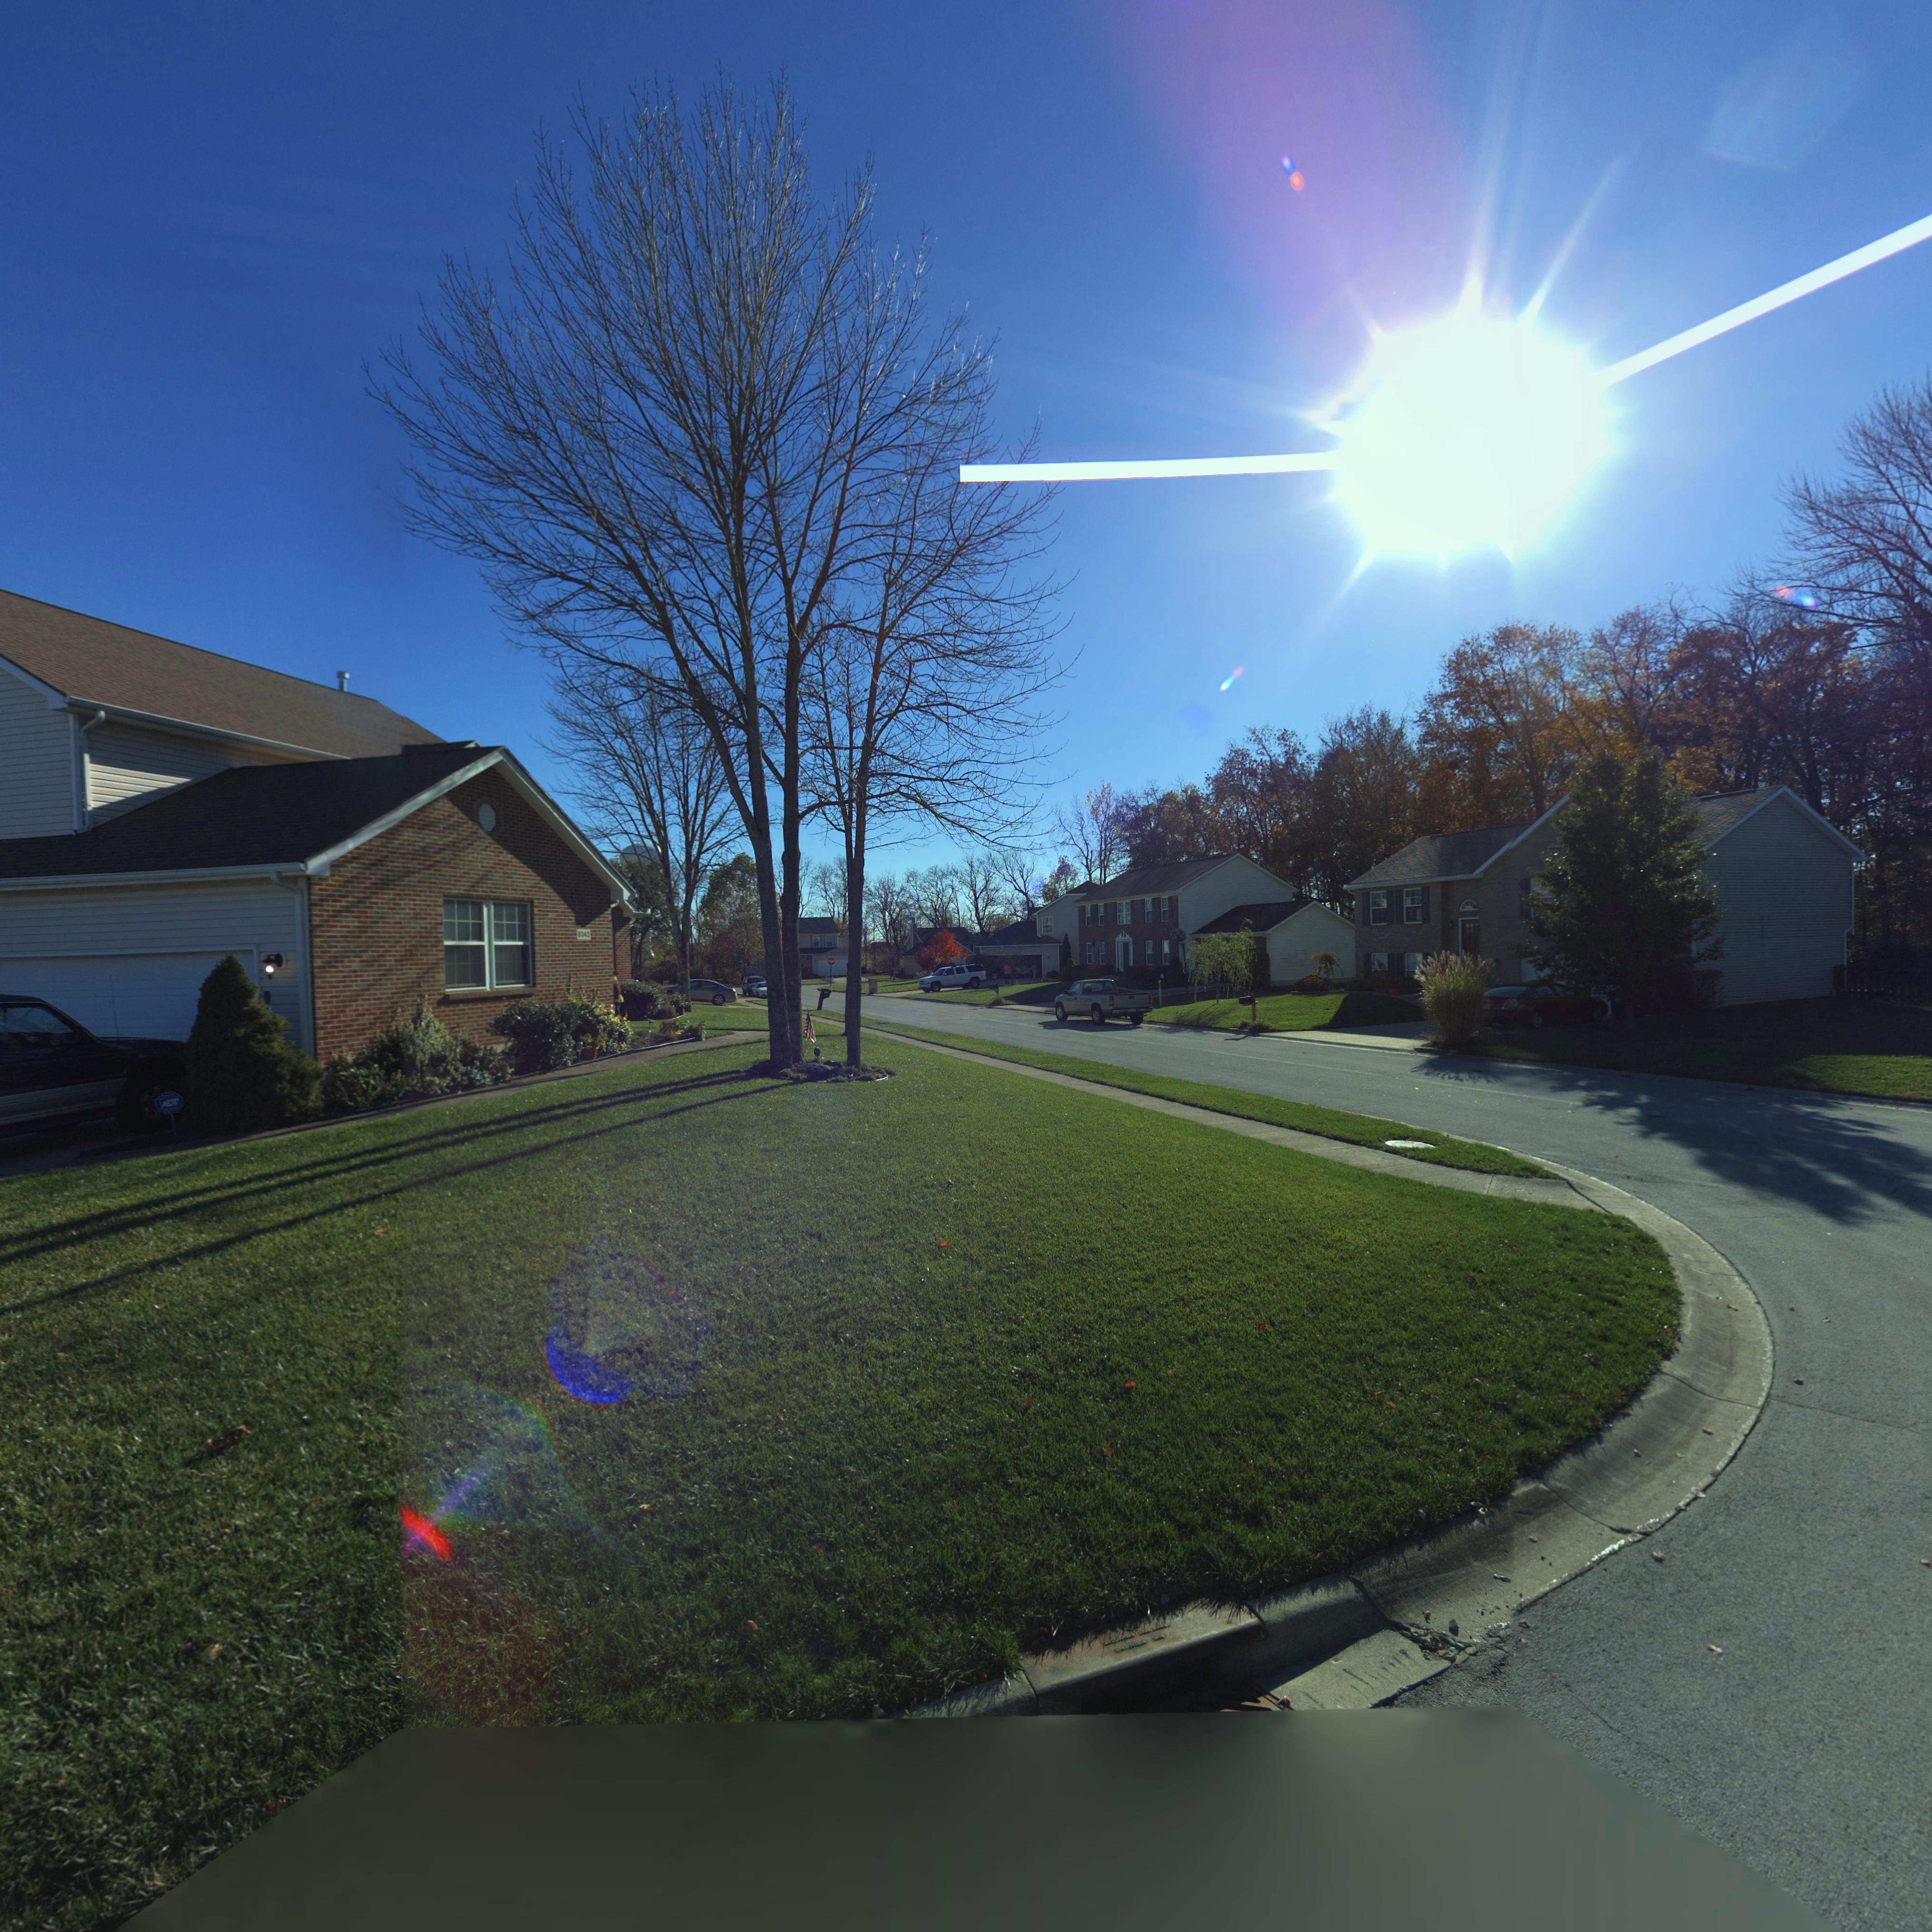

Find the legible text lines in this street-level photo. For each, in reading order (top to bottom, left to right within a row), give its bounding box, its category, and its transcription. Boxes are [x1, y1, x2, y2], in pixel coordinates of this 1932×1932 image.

[578, 930, 590, 938] StreetNumber: 6342